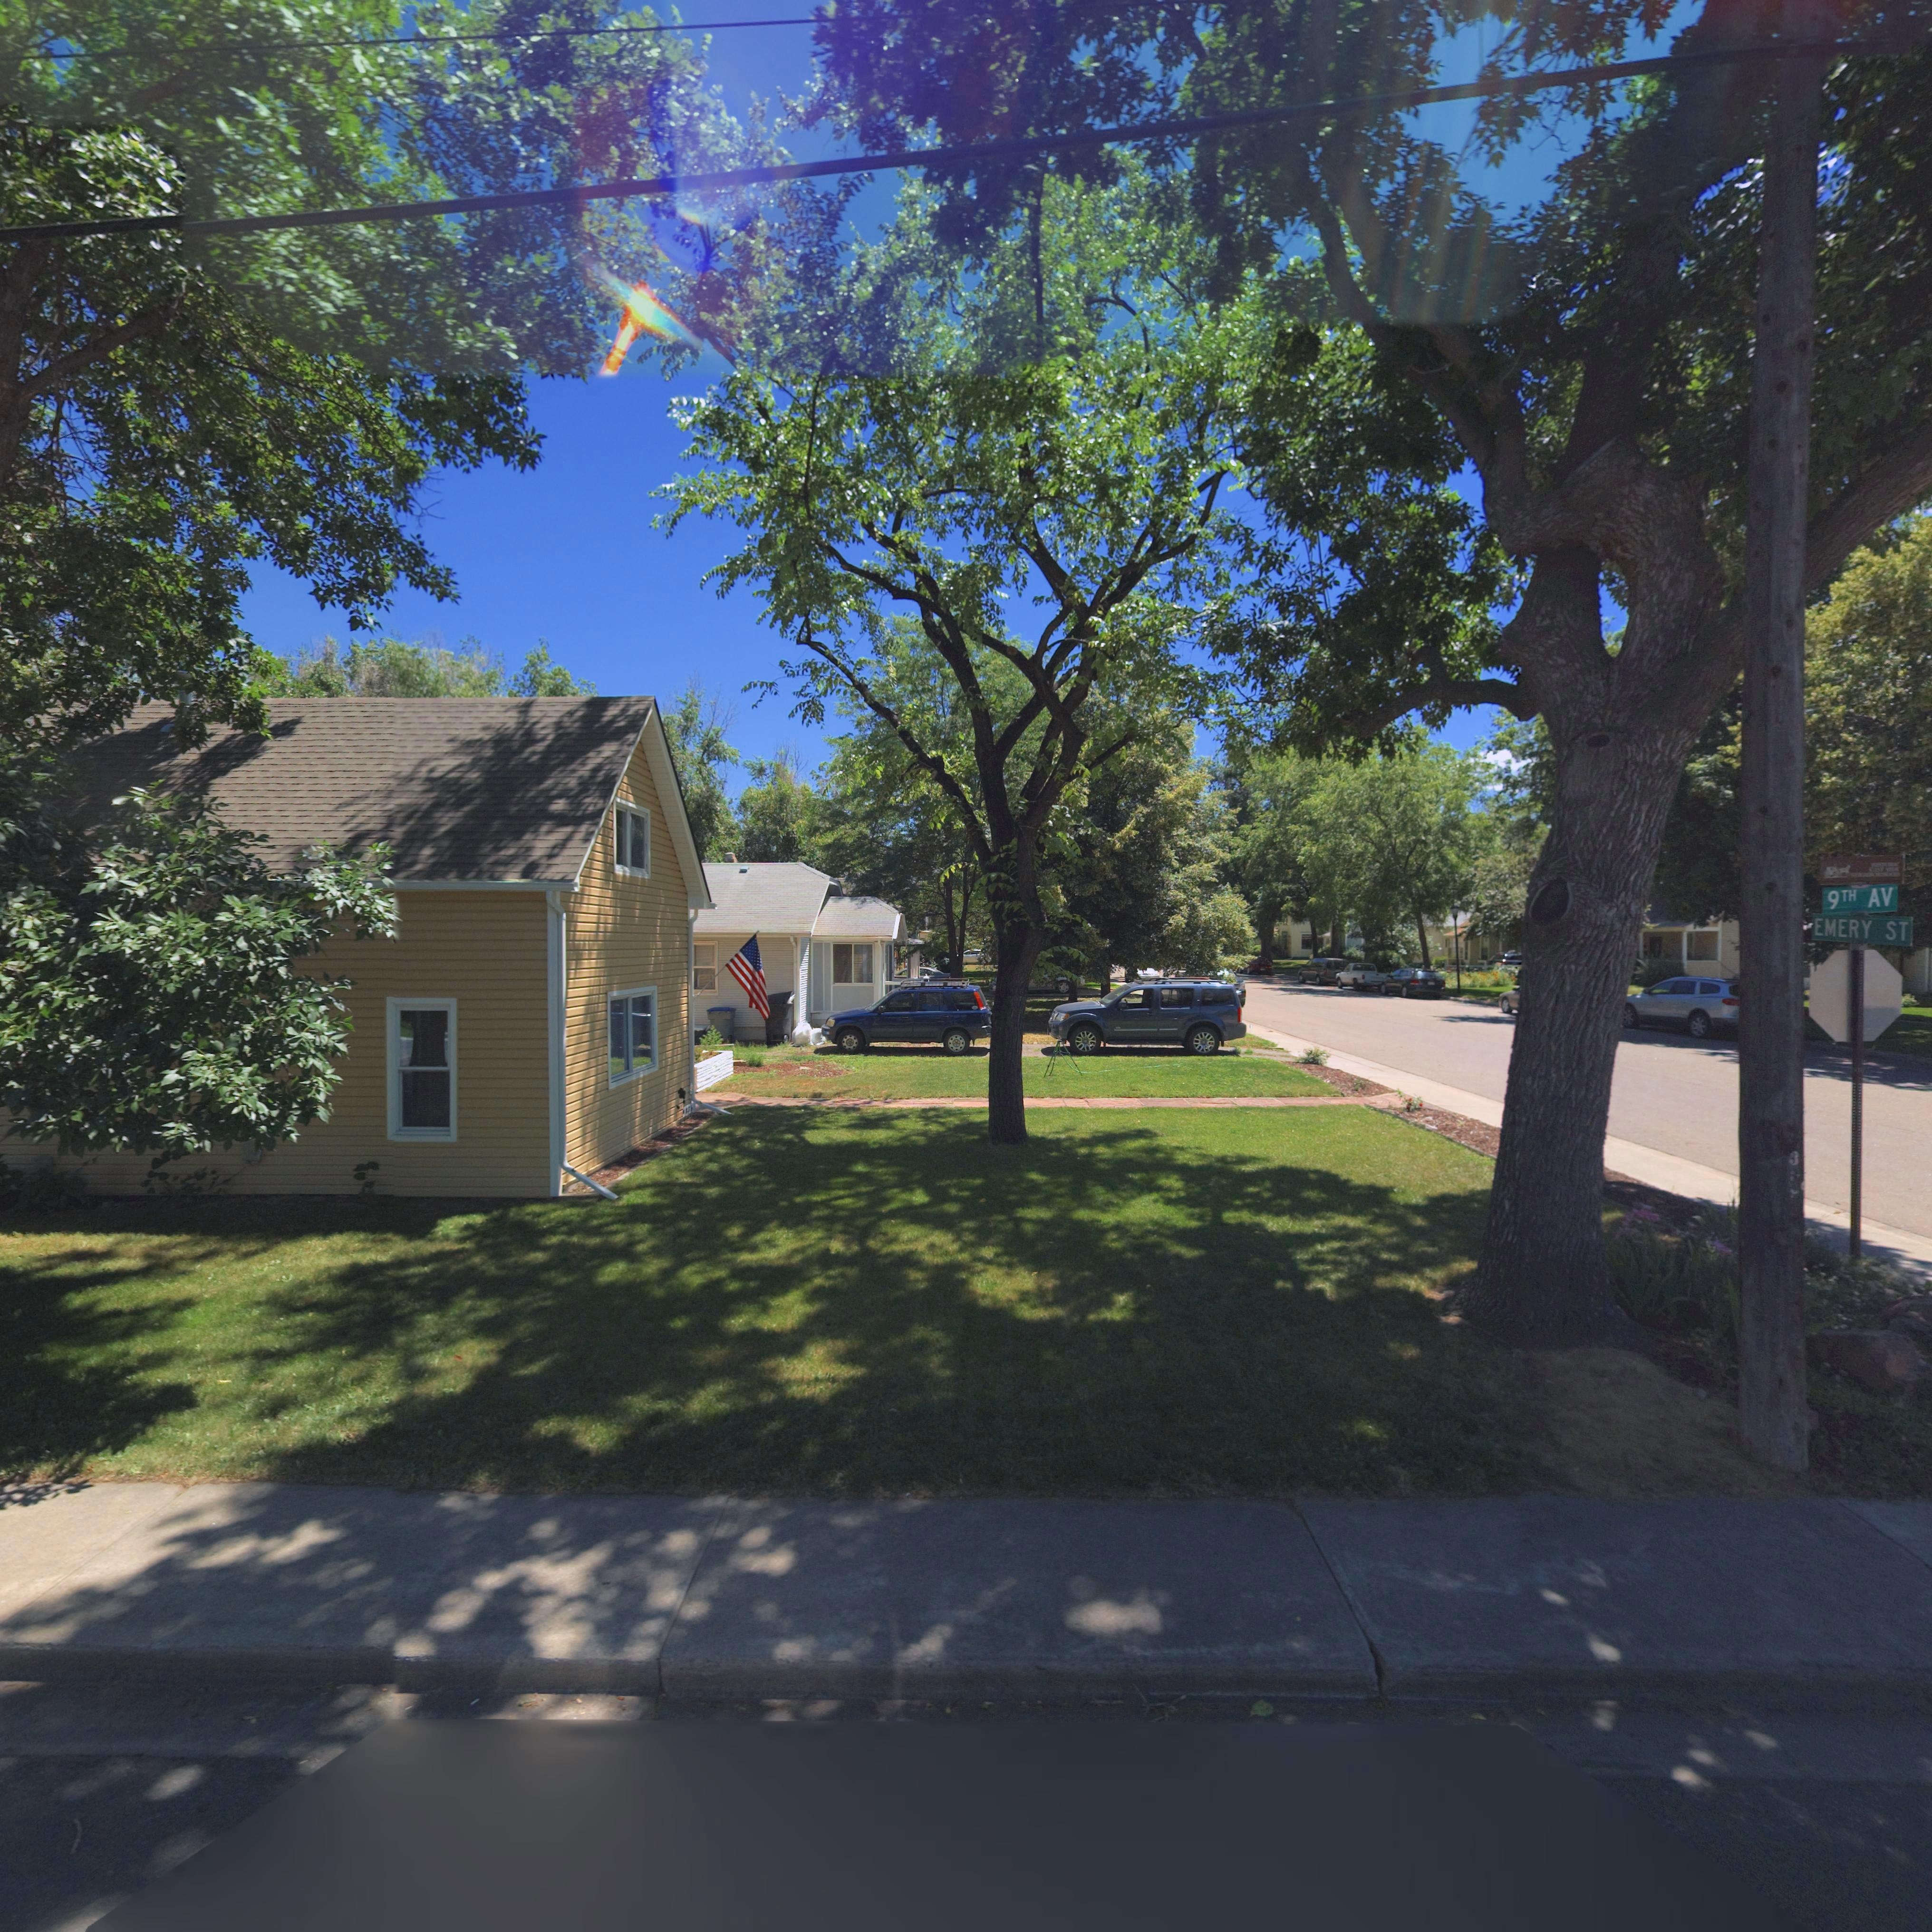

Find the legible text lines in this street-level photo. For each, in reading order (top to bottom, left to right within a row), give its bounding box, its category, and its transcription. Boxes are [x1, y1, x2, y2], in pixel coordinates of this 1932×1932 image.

[1826, 886, 1894, 910] StreetName: 9TH AV
[1814, 917, 1909, 942] StreetName: EMERY ST
[685, 1104, 693, 1115] StreetNumber: *3*